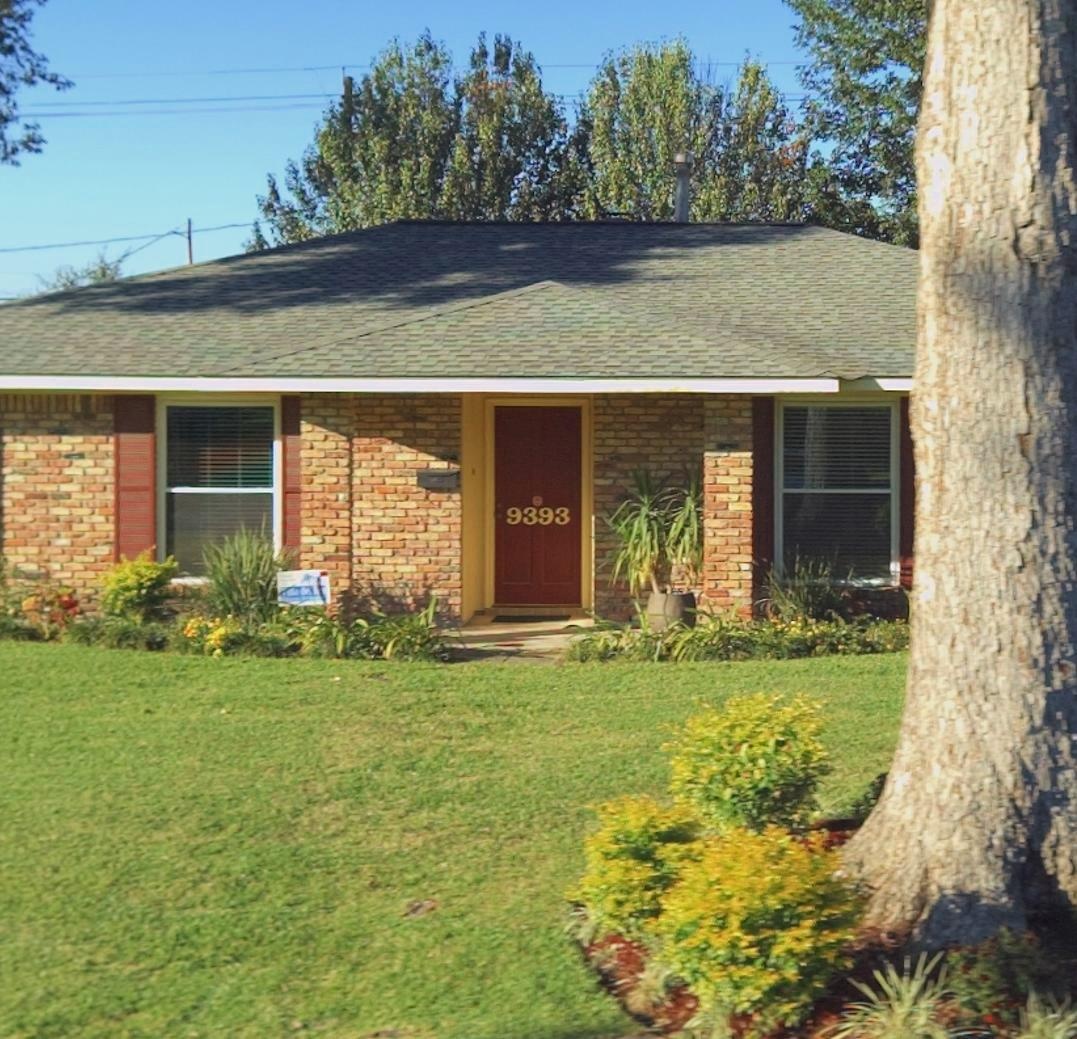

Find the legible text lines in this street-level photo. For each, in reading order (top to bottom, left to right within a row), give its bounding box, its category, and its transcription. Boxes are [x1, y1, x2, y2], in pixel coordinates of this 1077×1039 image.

[504, 505, 572, 527] StreetNumber: 9393